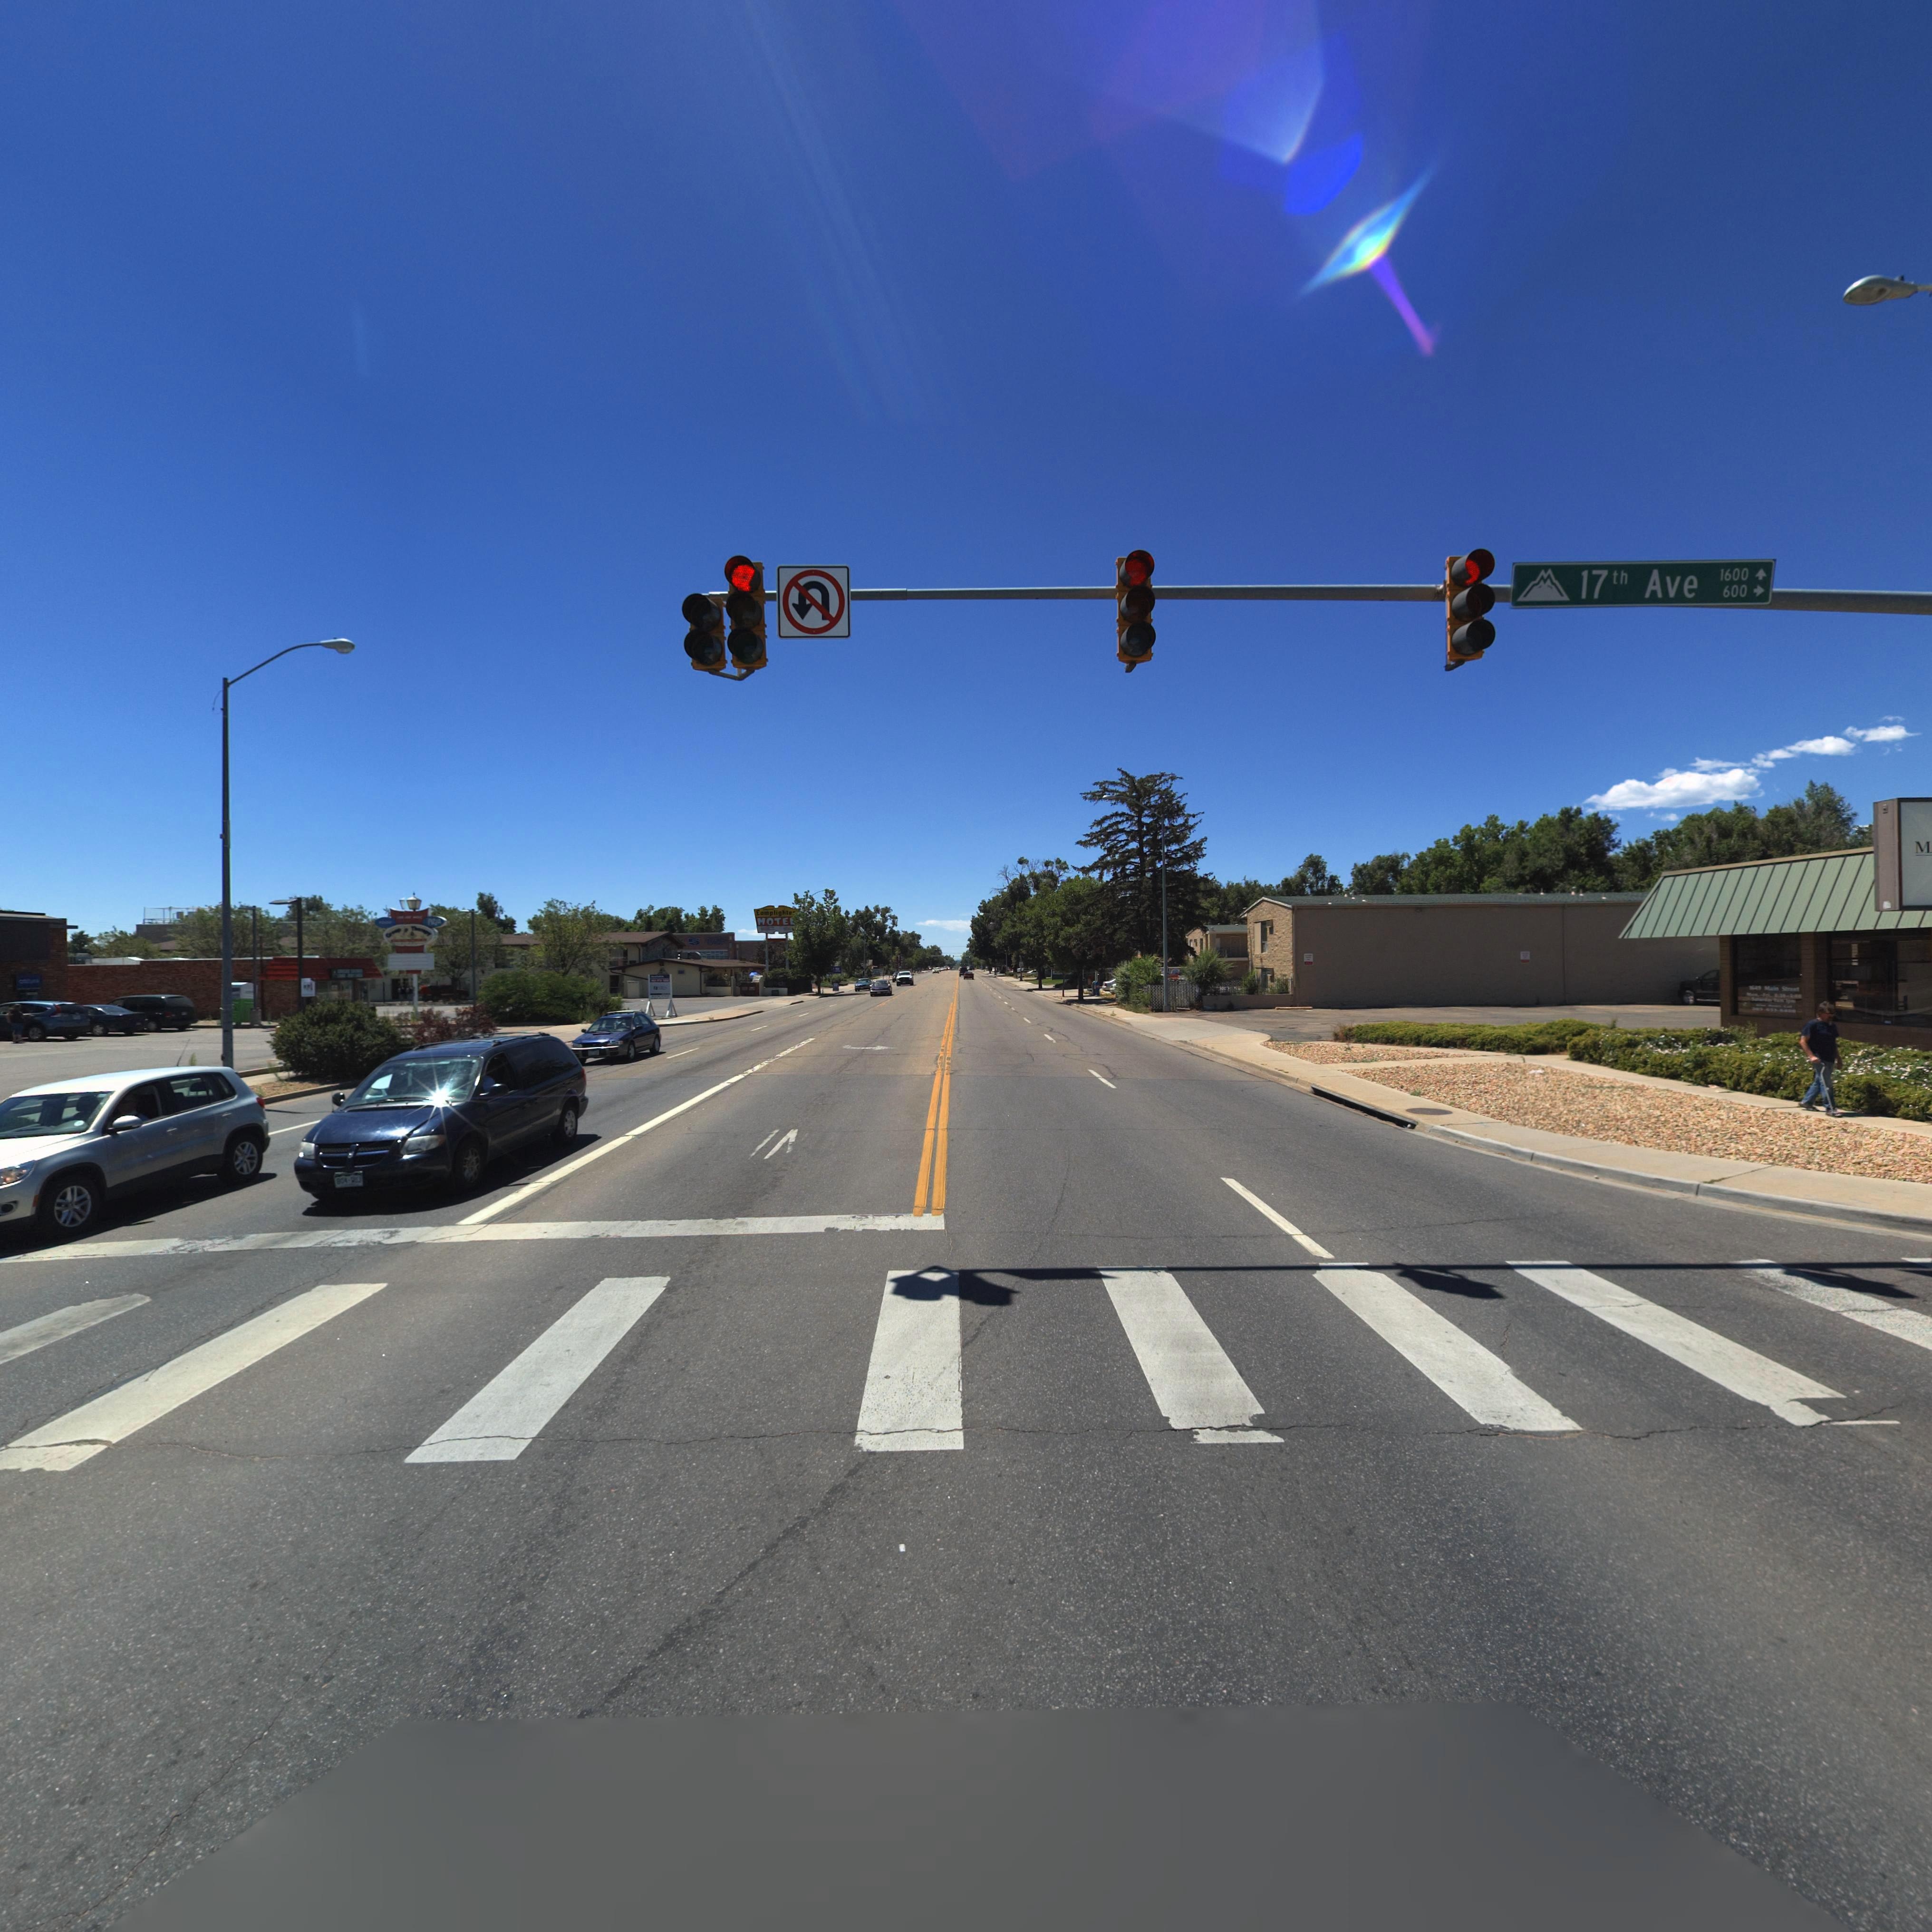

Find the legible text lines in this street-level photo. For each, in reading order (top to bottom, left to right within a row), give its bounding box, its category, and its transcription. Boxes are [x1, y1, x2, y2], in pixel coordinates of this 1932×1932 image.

[1720, 567, 1749, 582] StreetNumberRange: 1600
[1580, 568, 1699, 599] StreetName: 17th Ave
[1722, 584, 1766, 598] StreetNumberRange: 600->
[1914, 840, 1931, 854] BusinessName: M
[755, 909, 793, 916] BusinessName: Lamplighte
[756, 917, 789, 926] BusinessName: MOTE
[385, 925, 432, 938] BusinessName: Group The*apy
[1748, 985, 1762, 991] StreetNumber: 1649
[1764, 985, 1800, 992] StreetName: Main Street